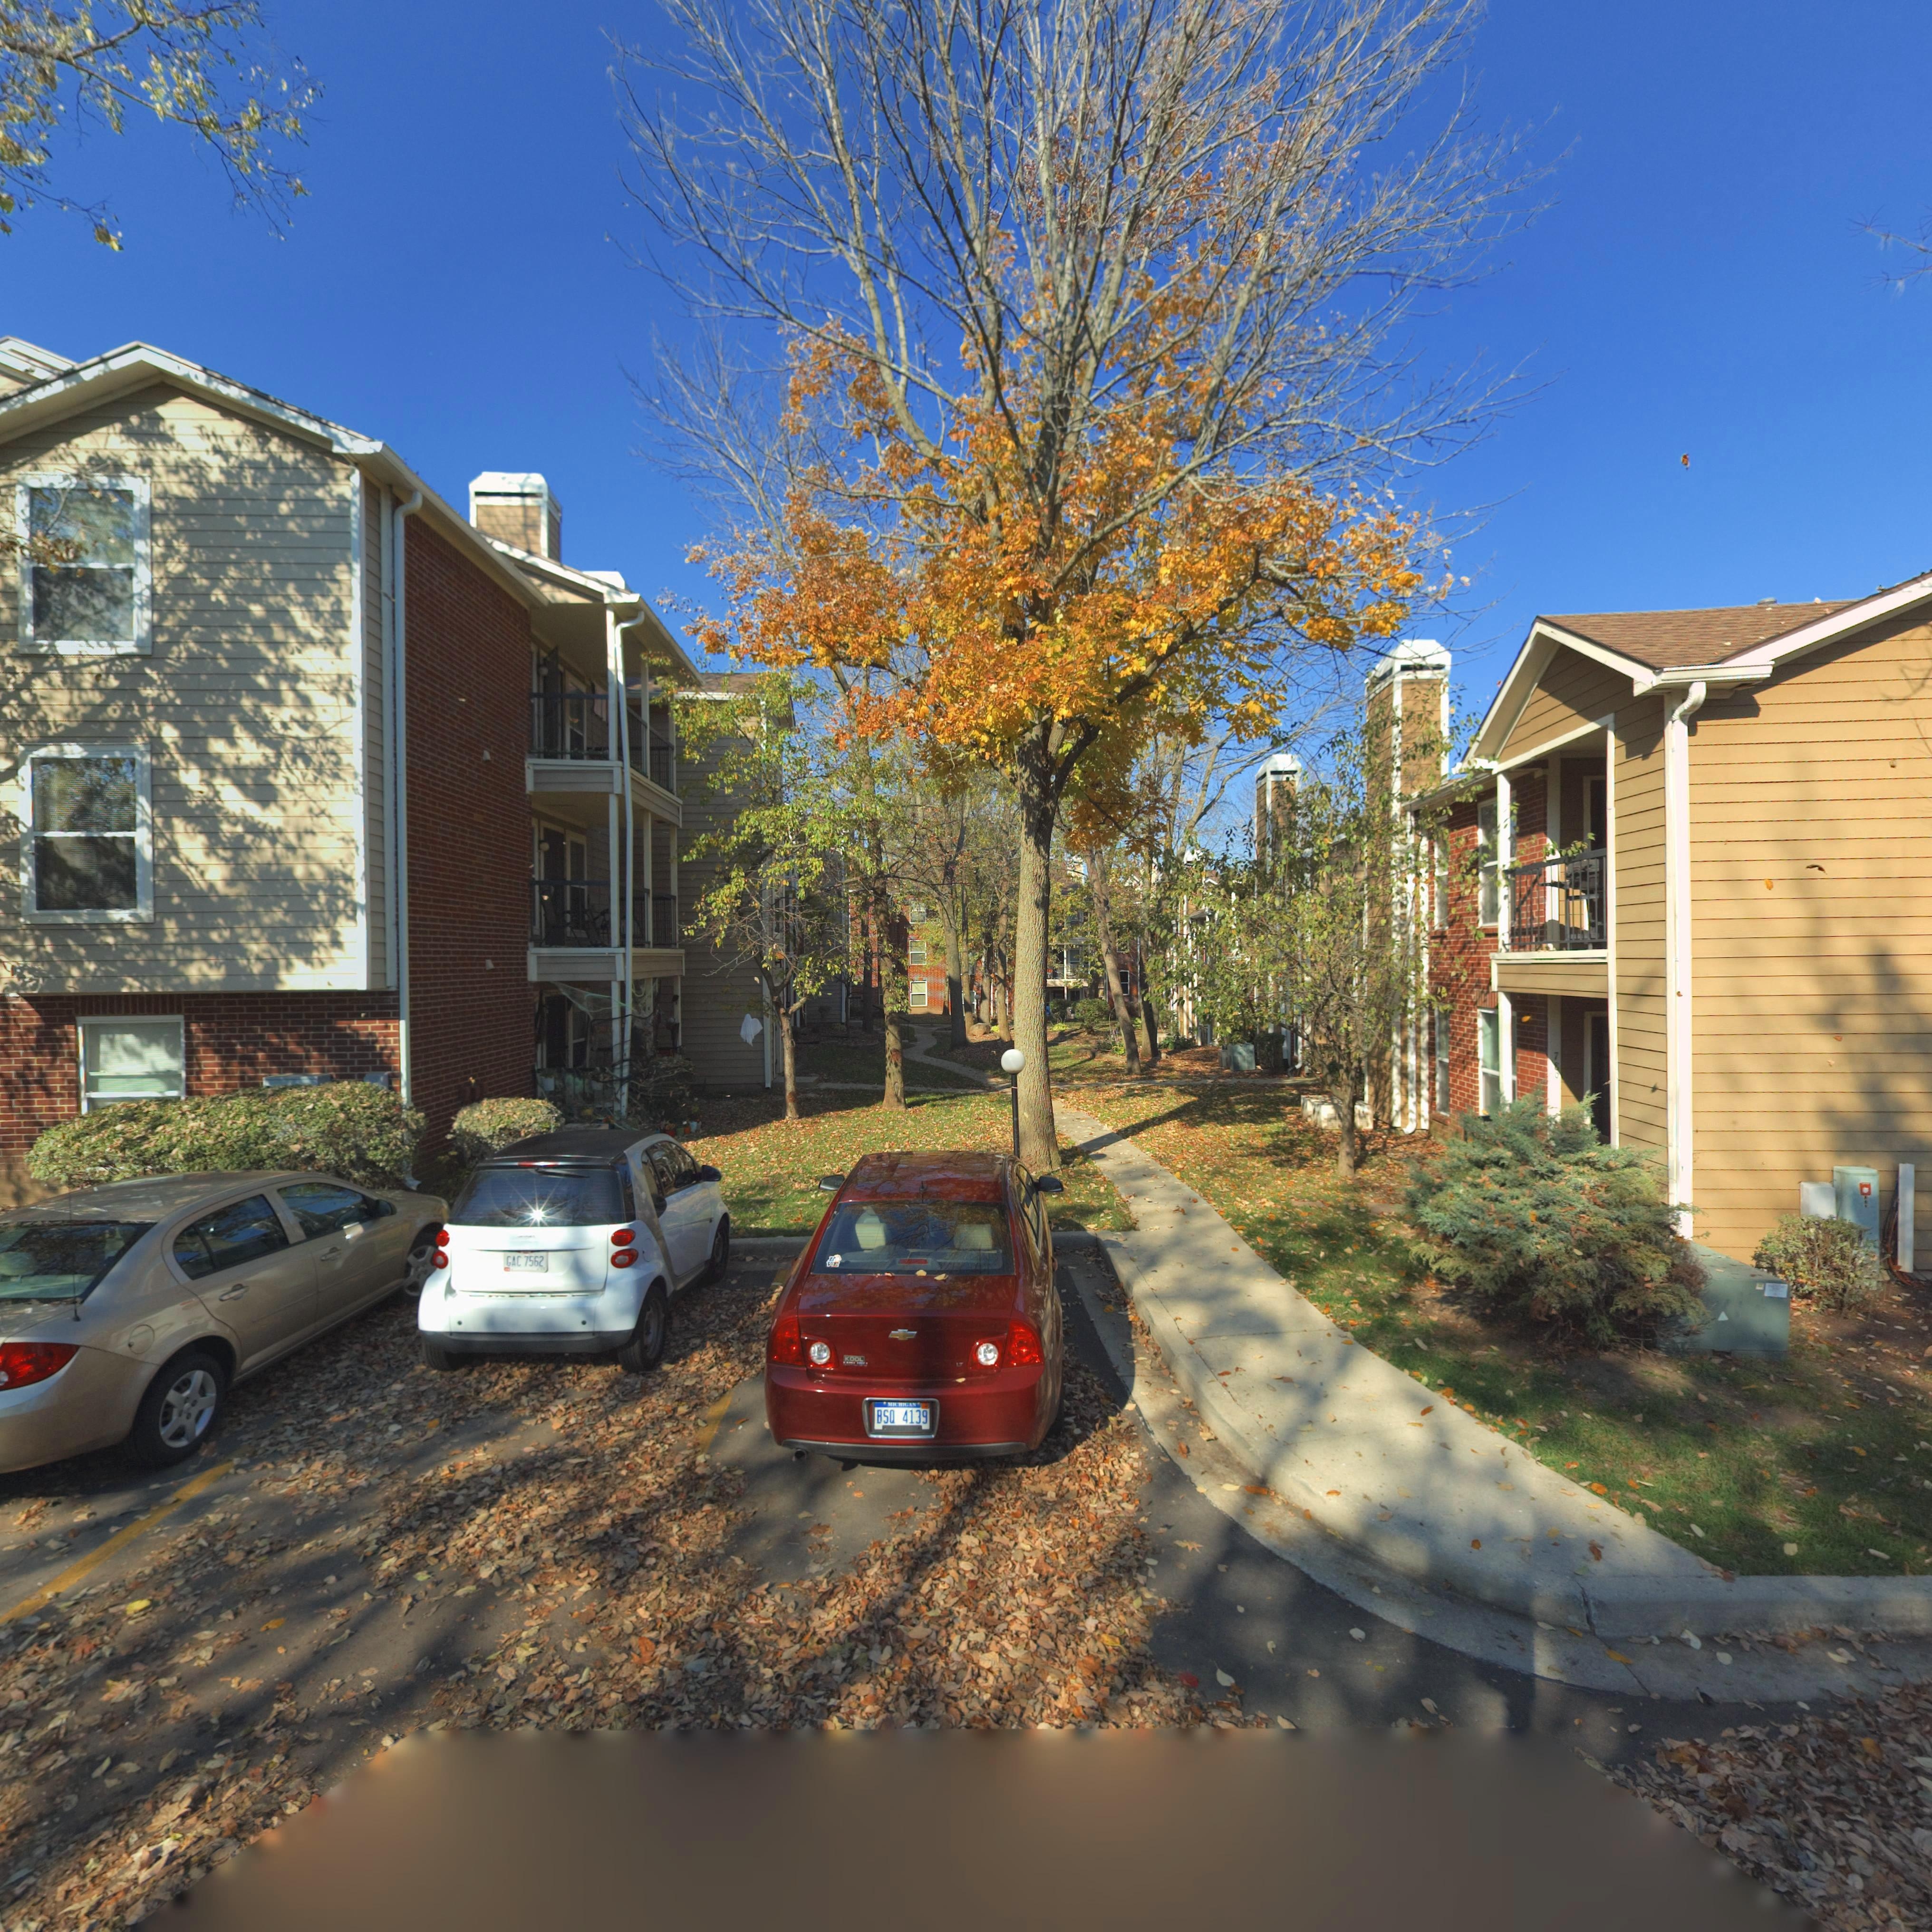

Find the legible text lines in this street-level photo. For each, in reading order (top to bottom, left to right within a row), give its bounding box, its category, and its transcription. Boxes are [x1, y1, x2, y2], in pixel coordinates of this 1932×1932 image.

[1553, 1051, 1560, 1080] StreetNumber: 780
[506, 1256, 544, 1267] None: GAC*7562
[844, 1355, 864, 1362] None: KOOL
[956, 1362, 964, 1367] None: LT
[887, 1401, 917, 1407] None: MICHIGAN
[876, 1409, 928, 1424] None: BSQ*4139